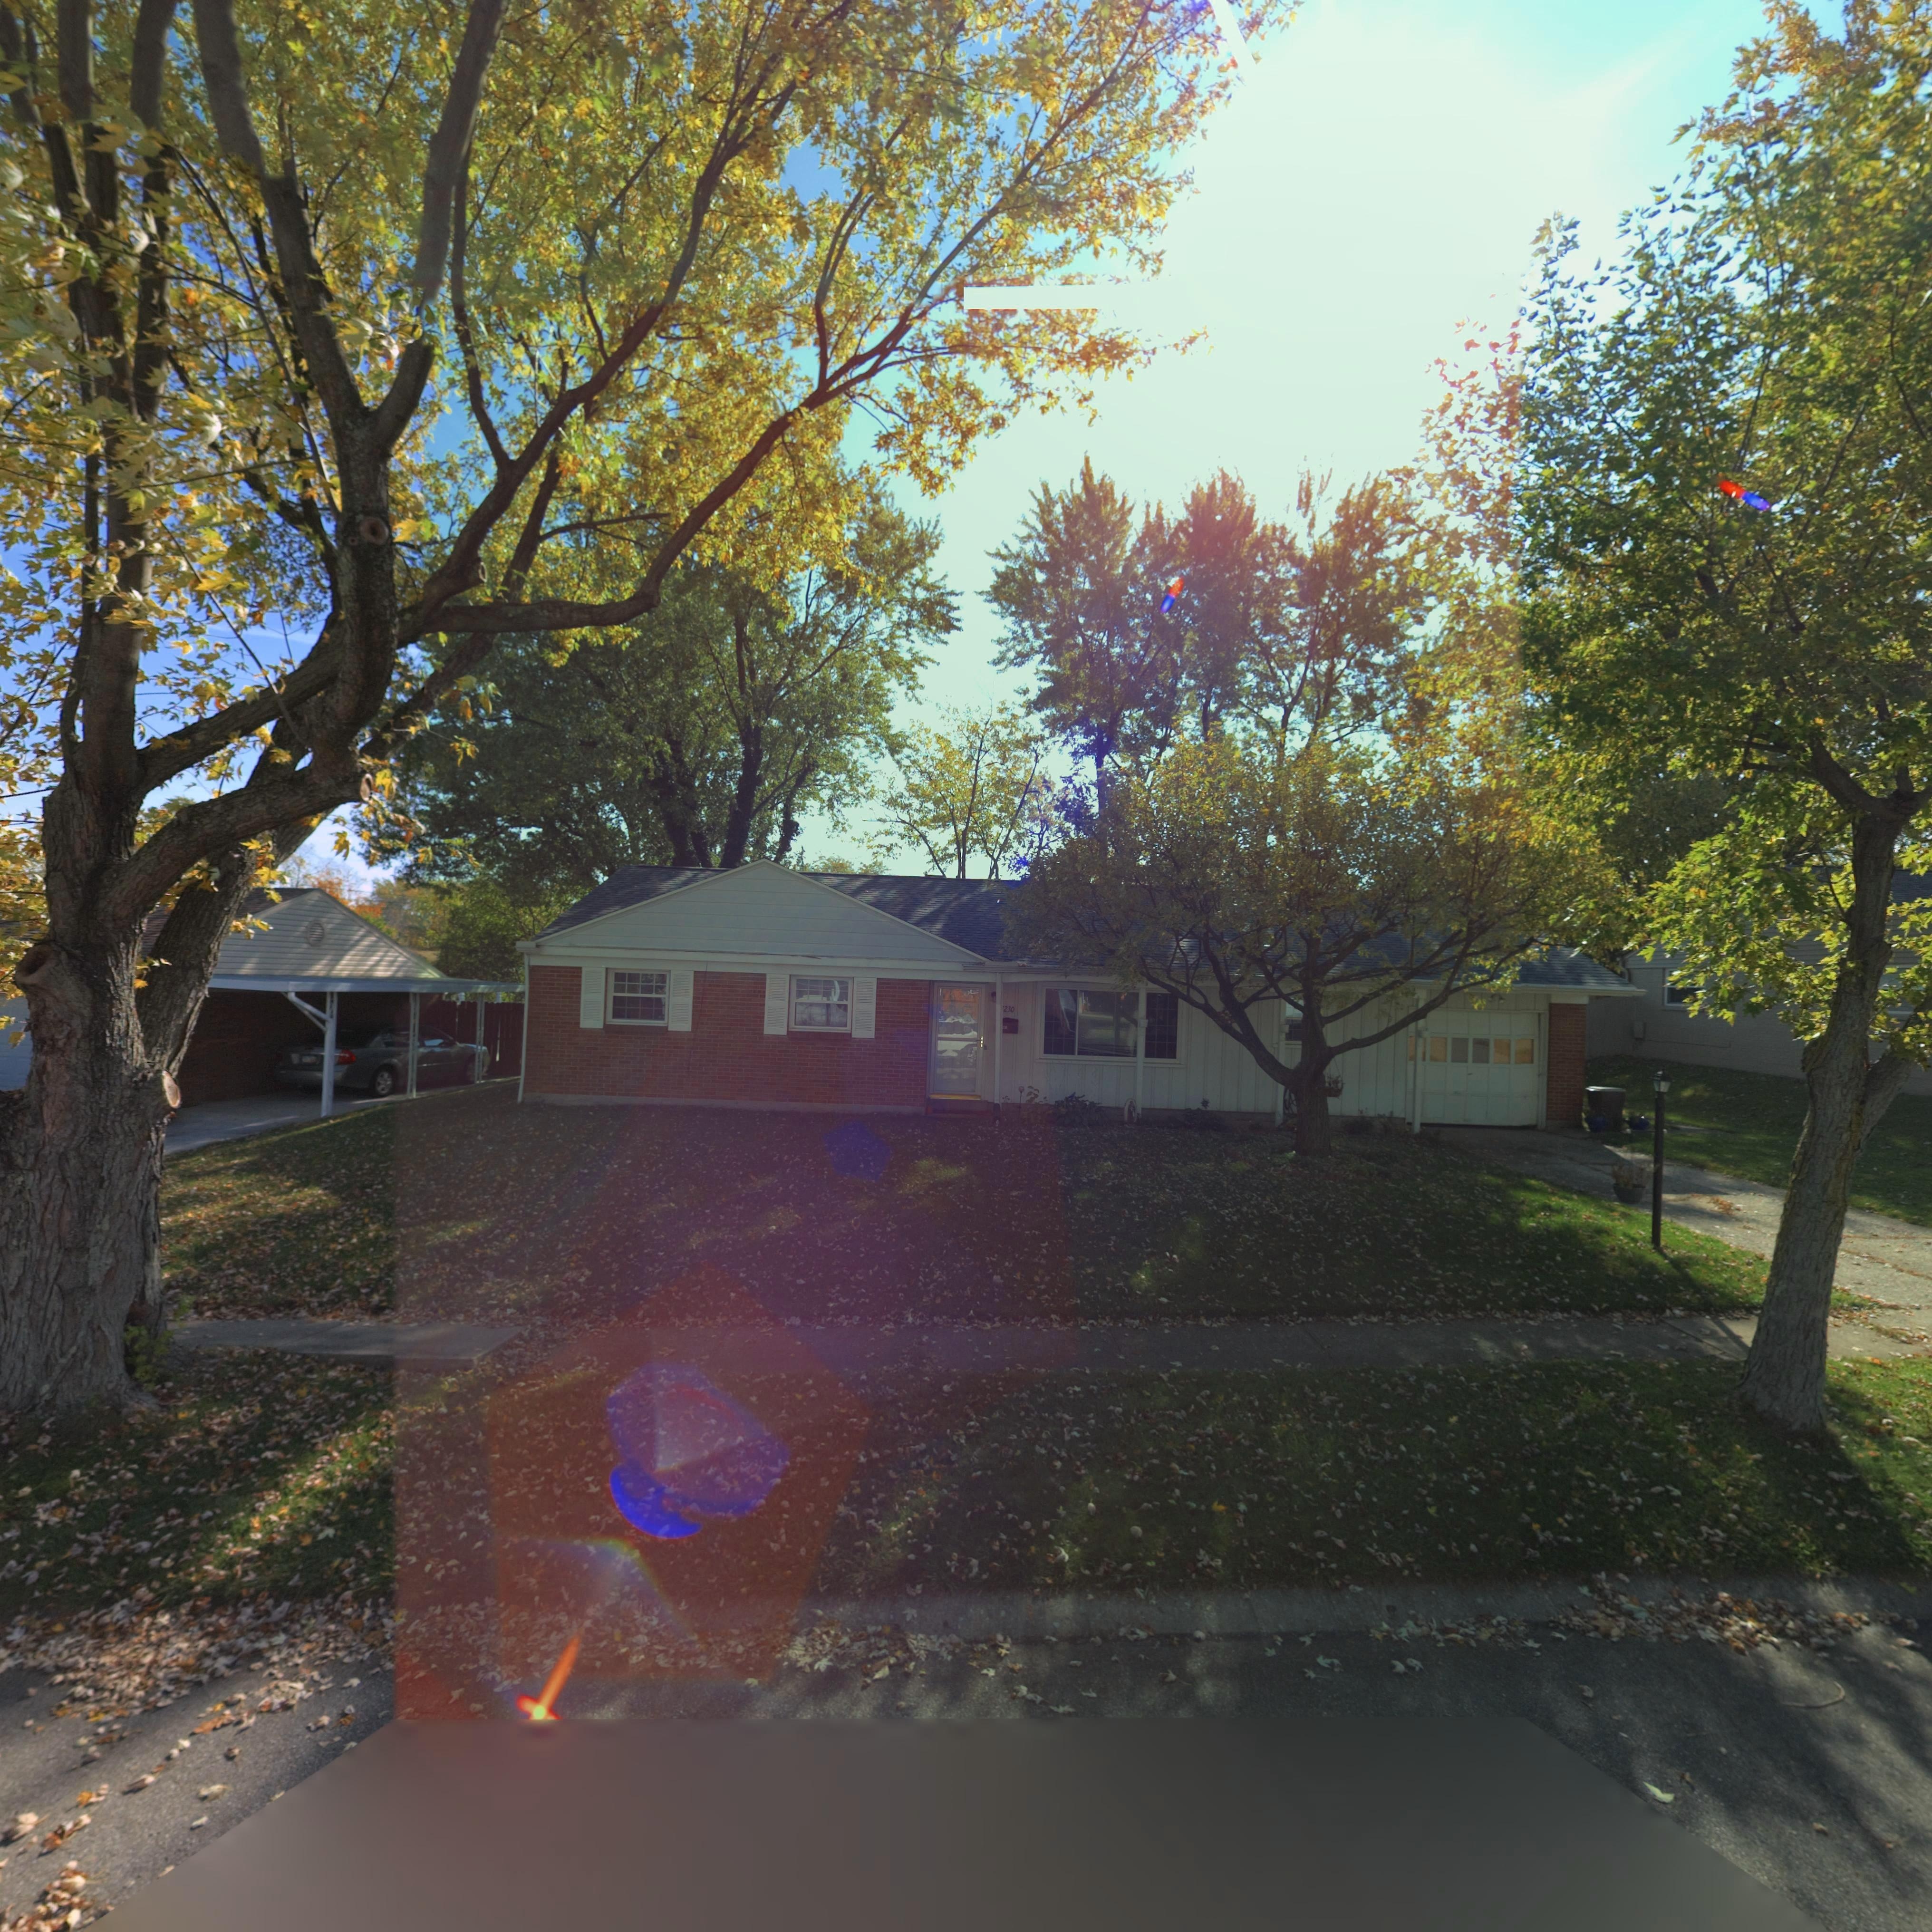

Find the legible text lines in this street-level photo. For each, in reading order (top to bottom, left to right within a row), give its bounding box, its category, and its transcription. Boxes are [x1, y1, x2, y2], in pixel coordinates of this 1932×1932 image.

[1001, 1005, 1015, 1013] StreetNumber: *230